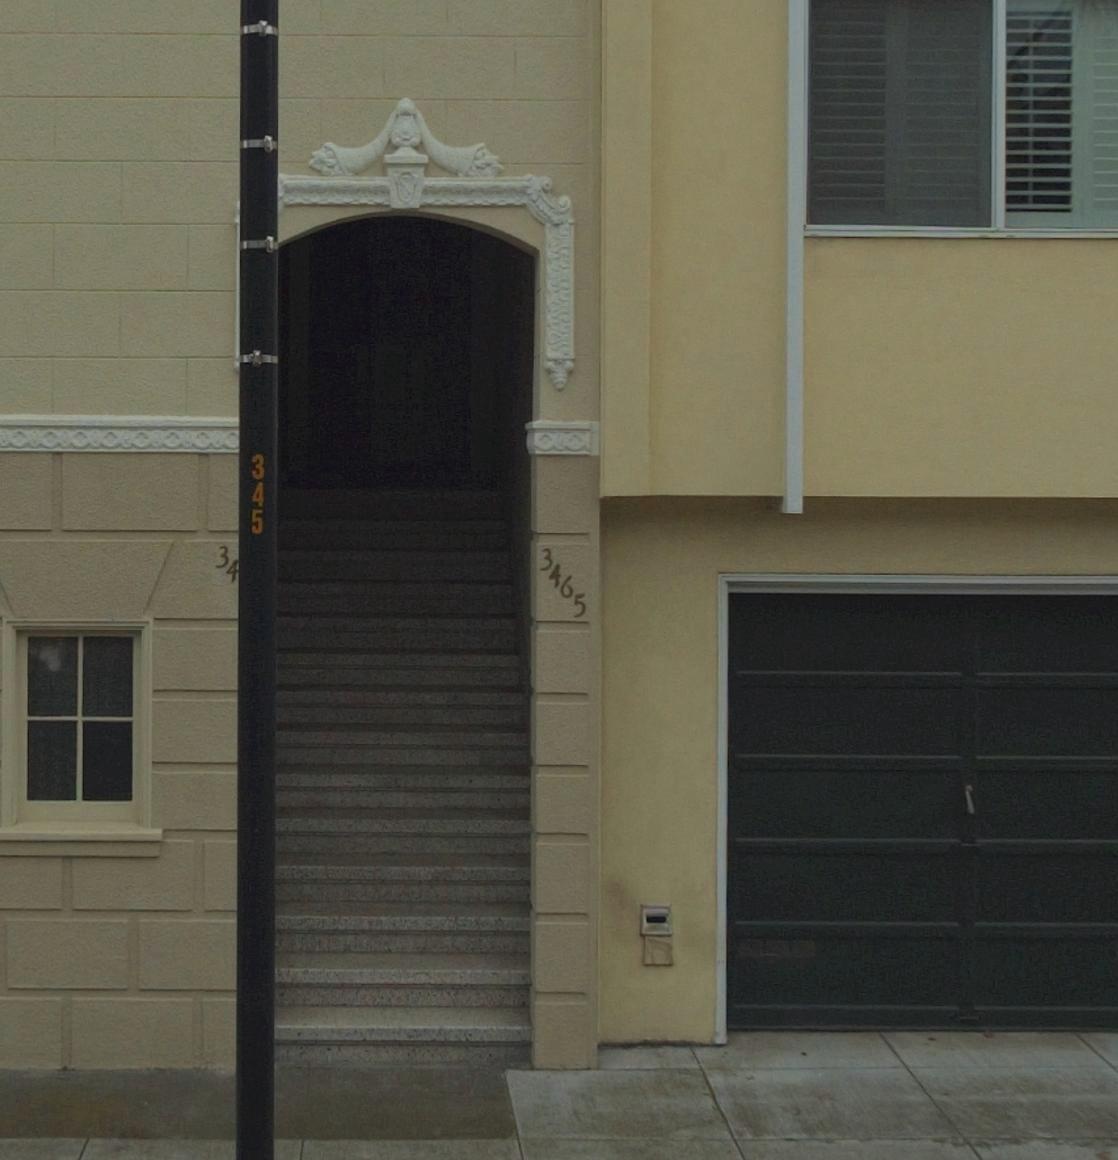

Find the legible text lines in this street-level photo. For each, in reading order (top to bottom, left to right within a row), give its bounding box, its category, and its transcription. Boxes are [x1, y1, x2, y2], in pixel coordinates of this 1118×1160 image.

[249, 452, 266, 536] None: 345
[214, 544, 241, 585] StreetNumber: 34
[539, 547, 587, 619] StreetNumber: 3465